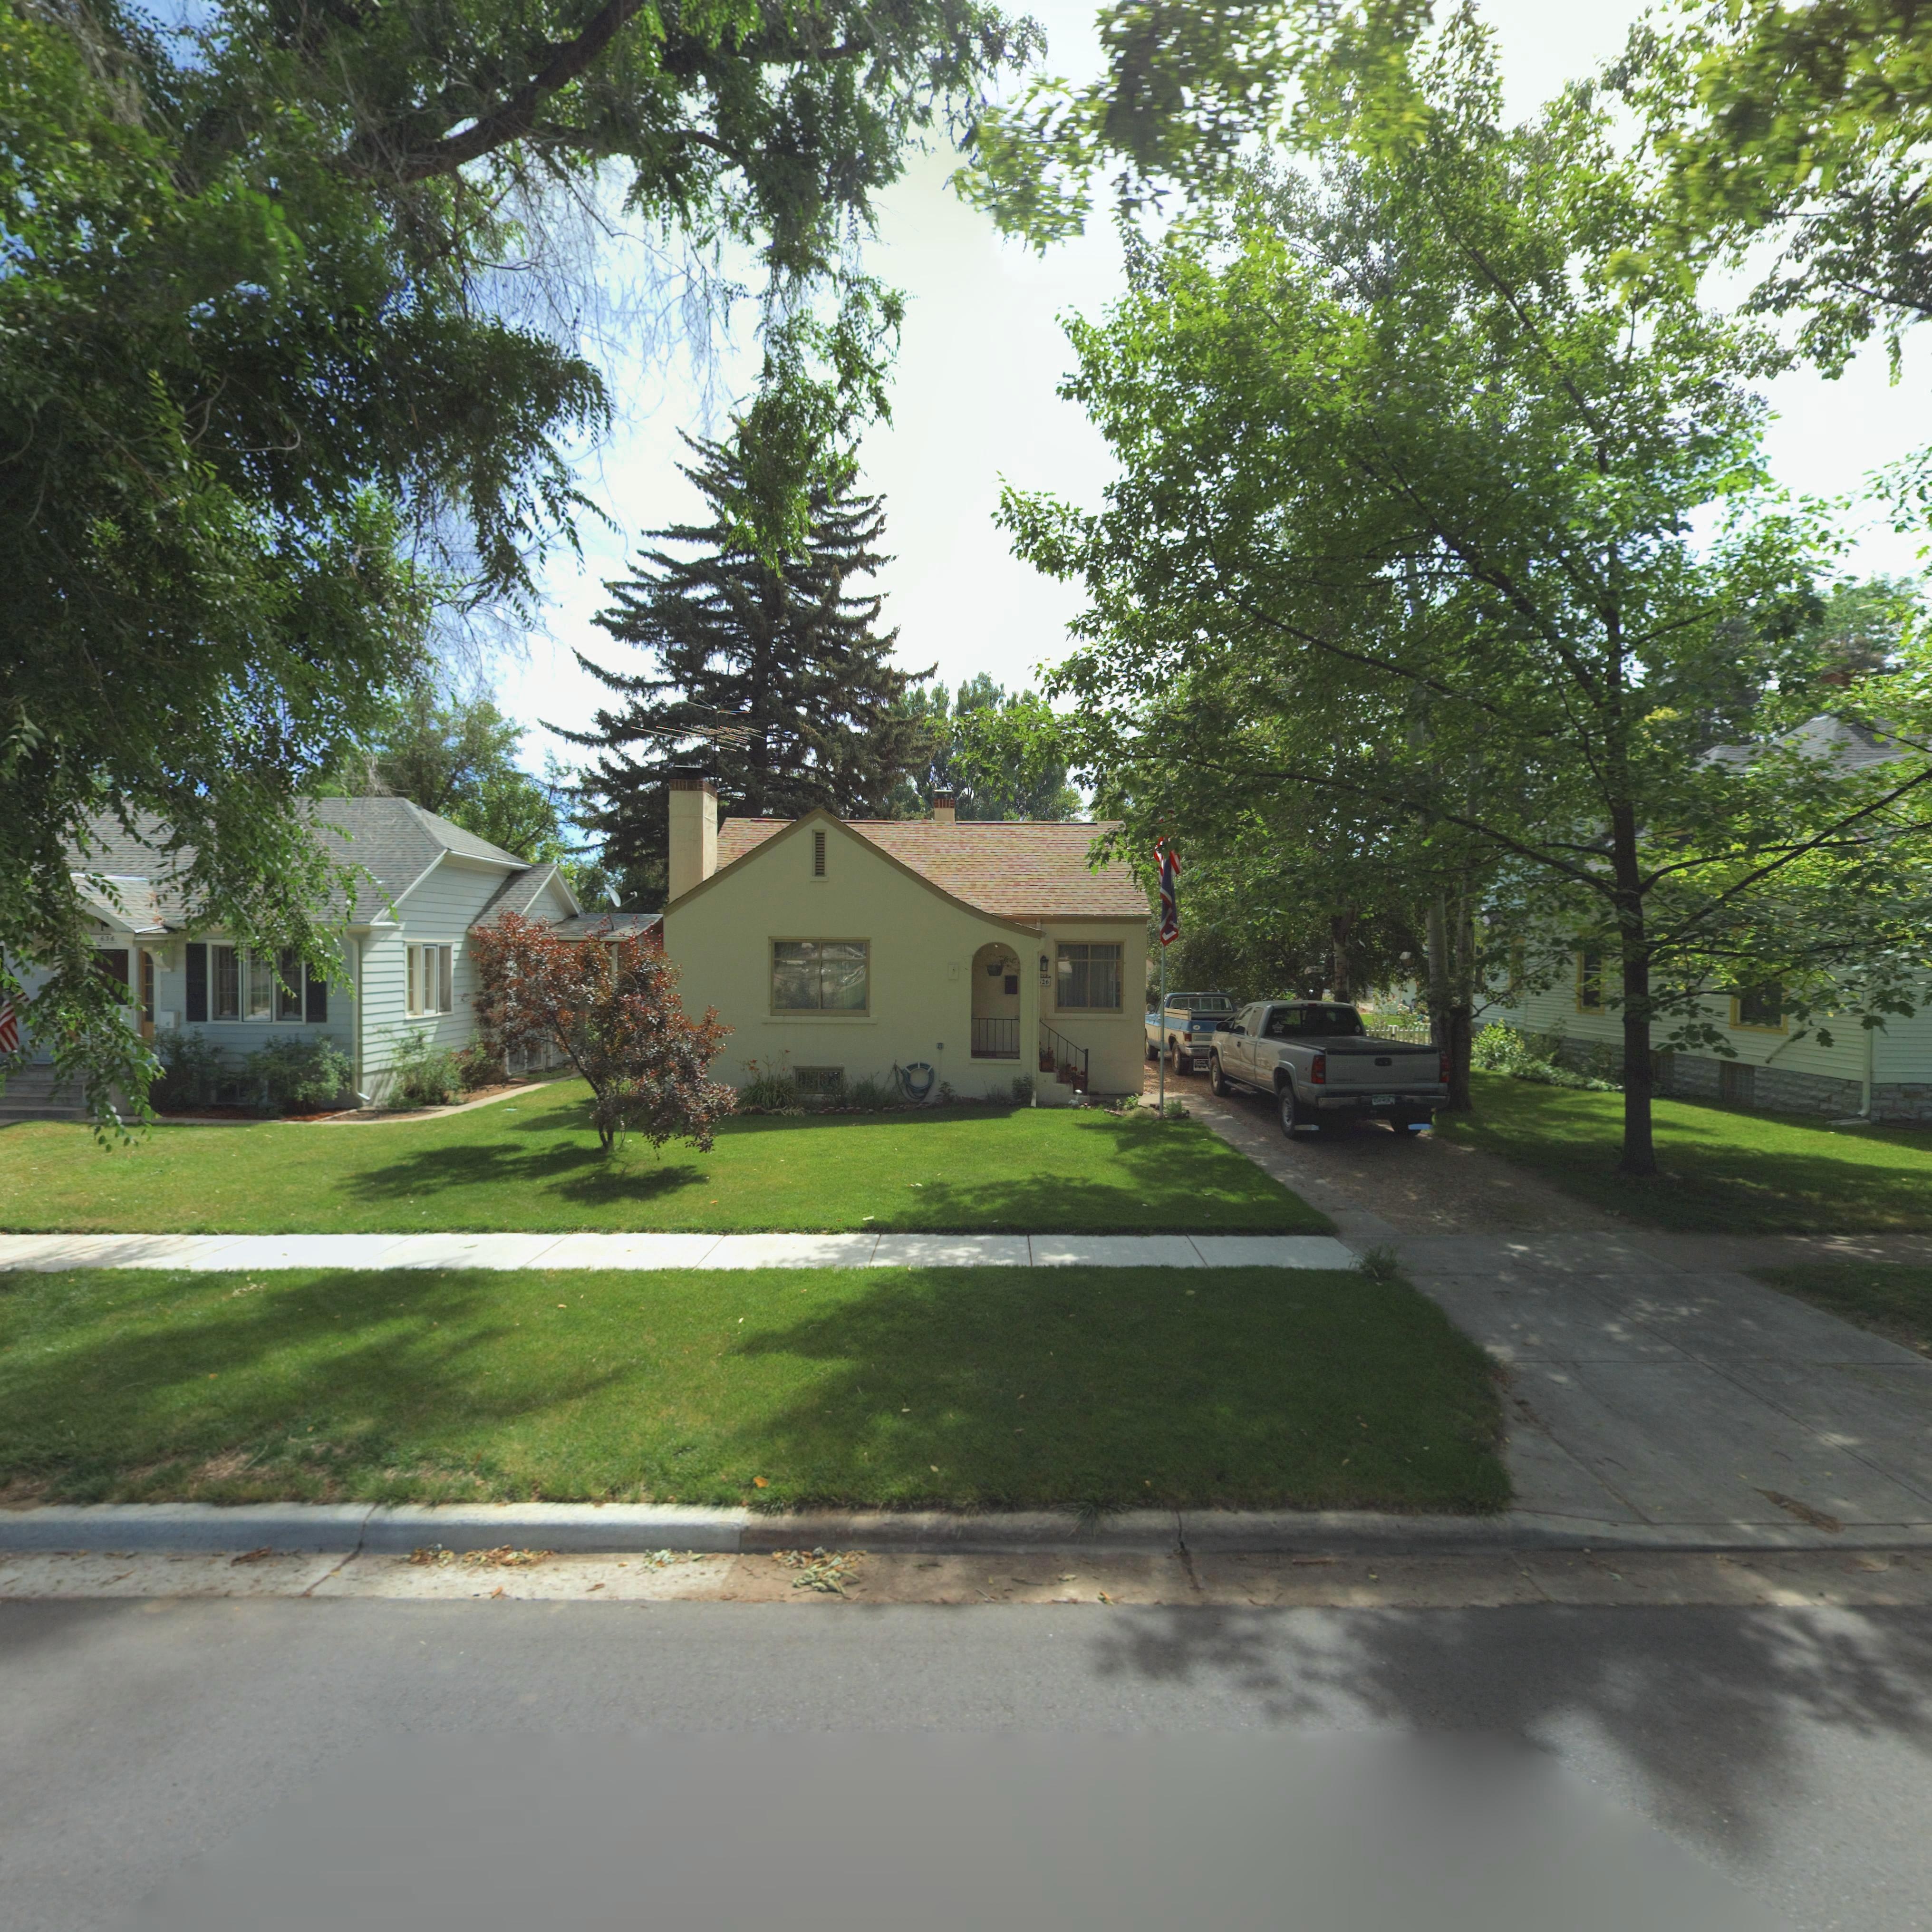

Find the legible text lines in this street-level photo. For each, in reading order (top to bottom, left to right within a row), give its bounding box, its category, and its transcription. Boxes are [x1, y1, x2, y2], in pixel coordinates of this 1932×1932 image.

[99, 935, 115, 941] StreetNumber: 636
[1042, 979, 1049, 984] StreetNumber: 26